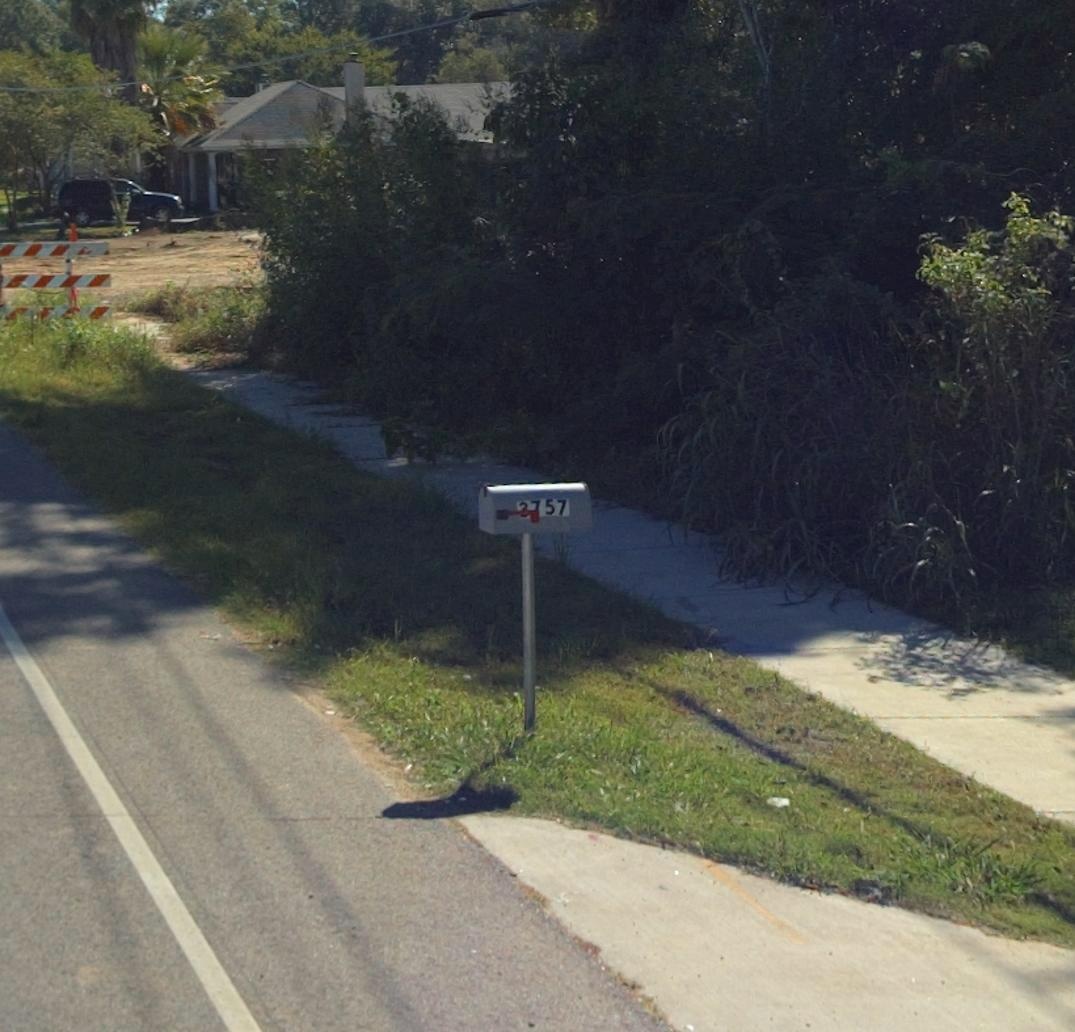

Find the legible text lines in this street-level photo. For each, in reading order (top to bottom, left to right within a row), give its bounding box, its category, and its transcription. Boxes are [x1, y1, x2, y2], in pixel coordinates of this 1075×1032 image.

[544, 497, 571, 518] StreetNumber: 57